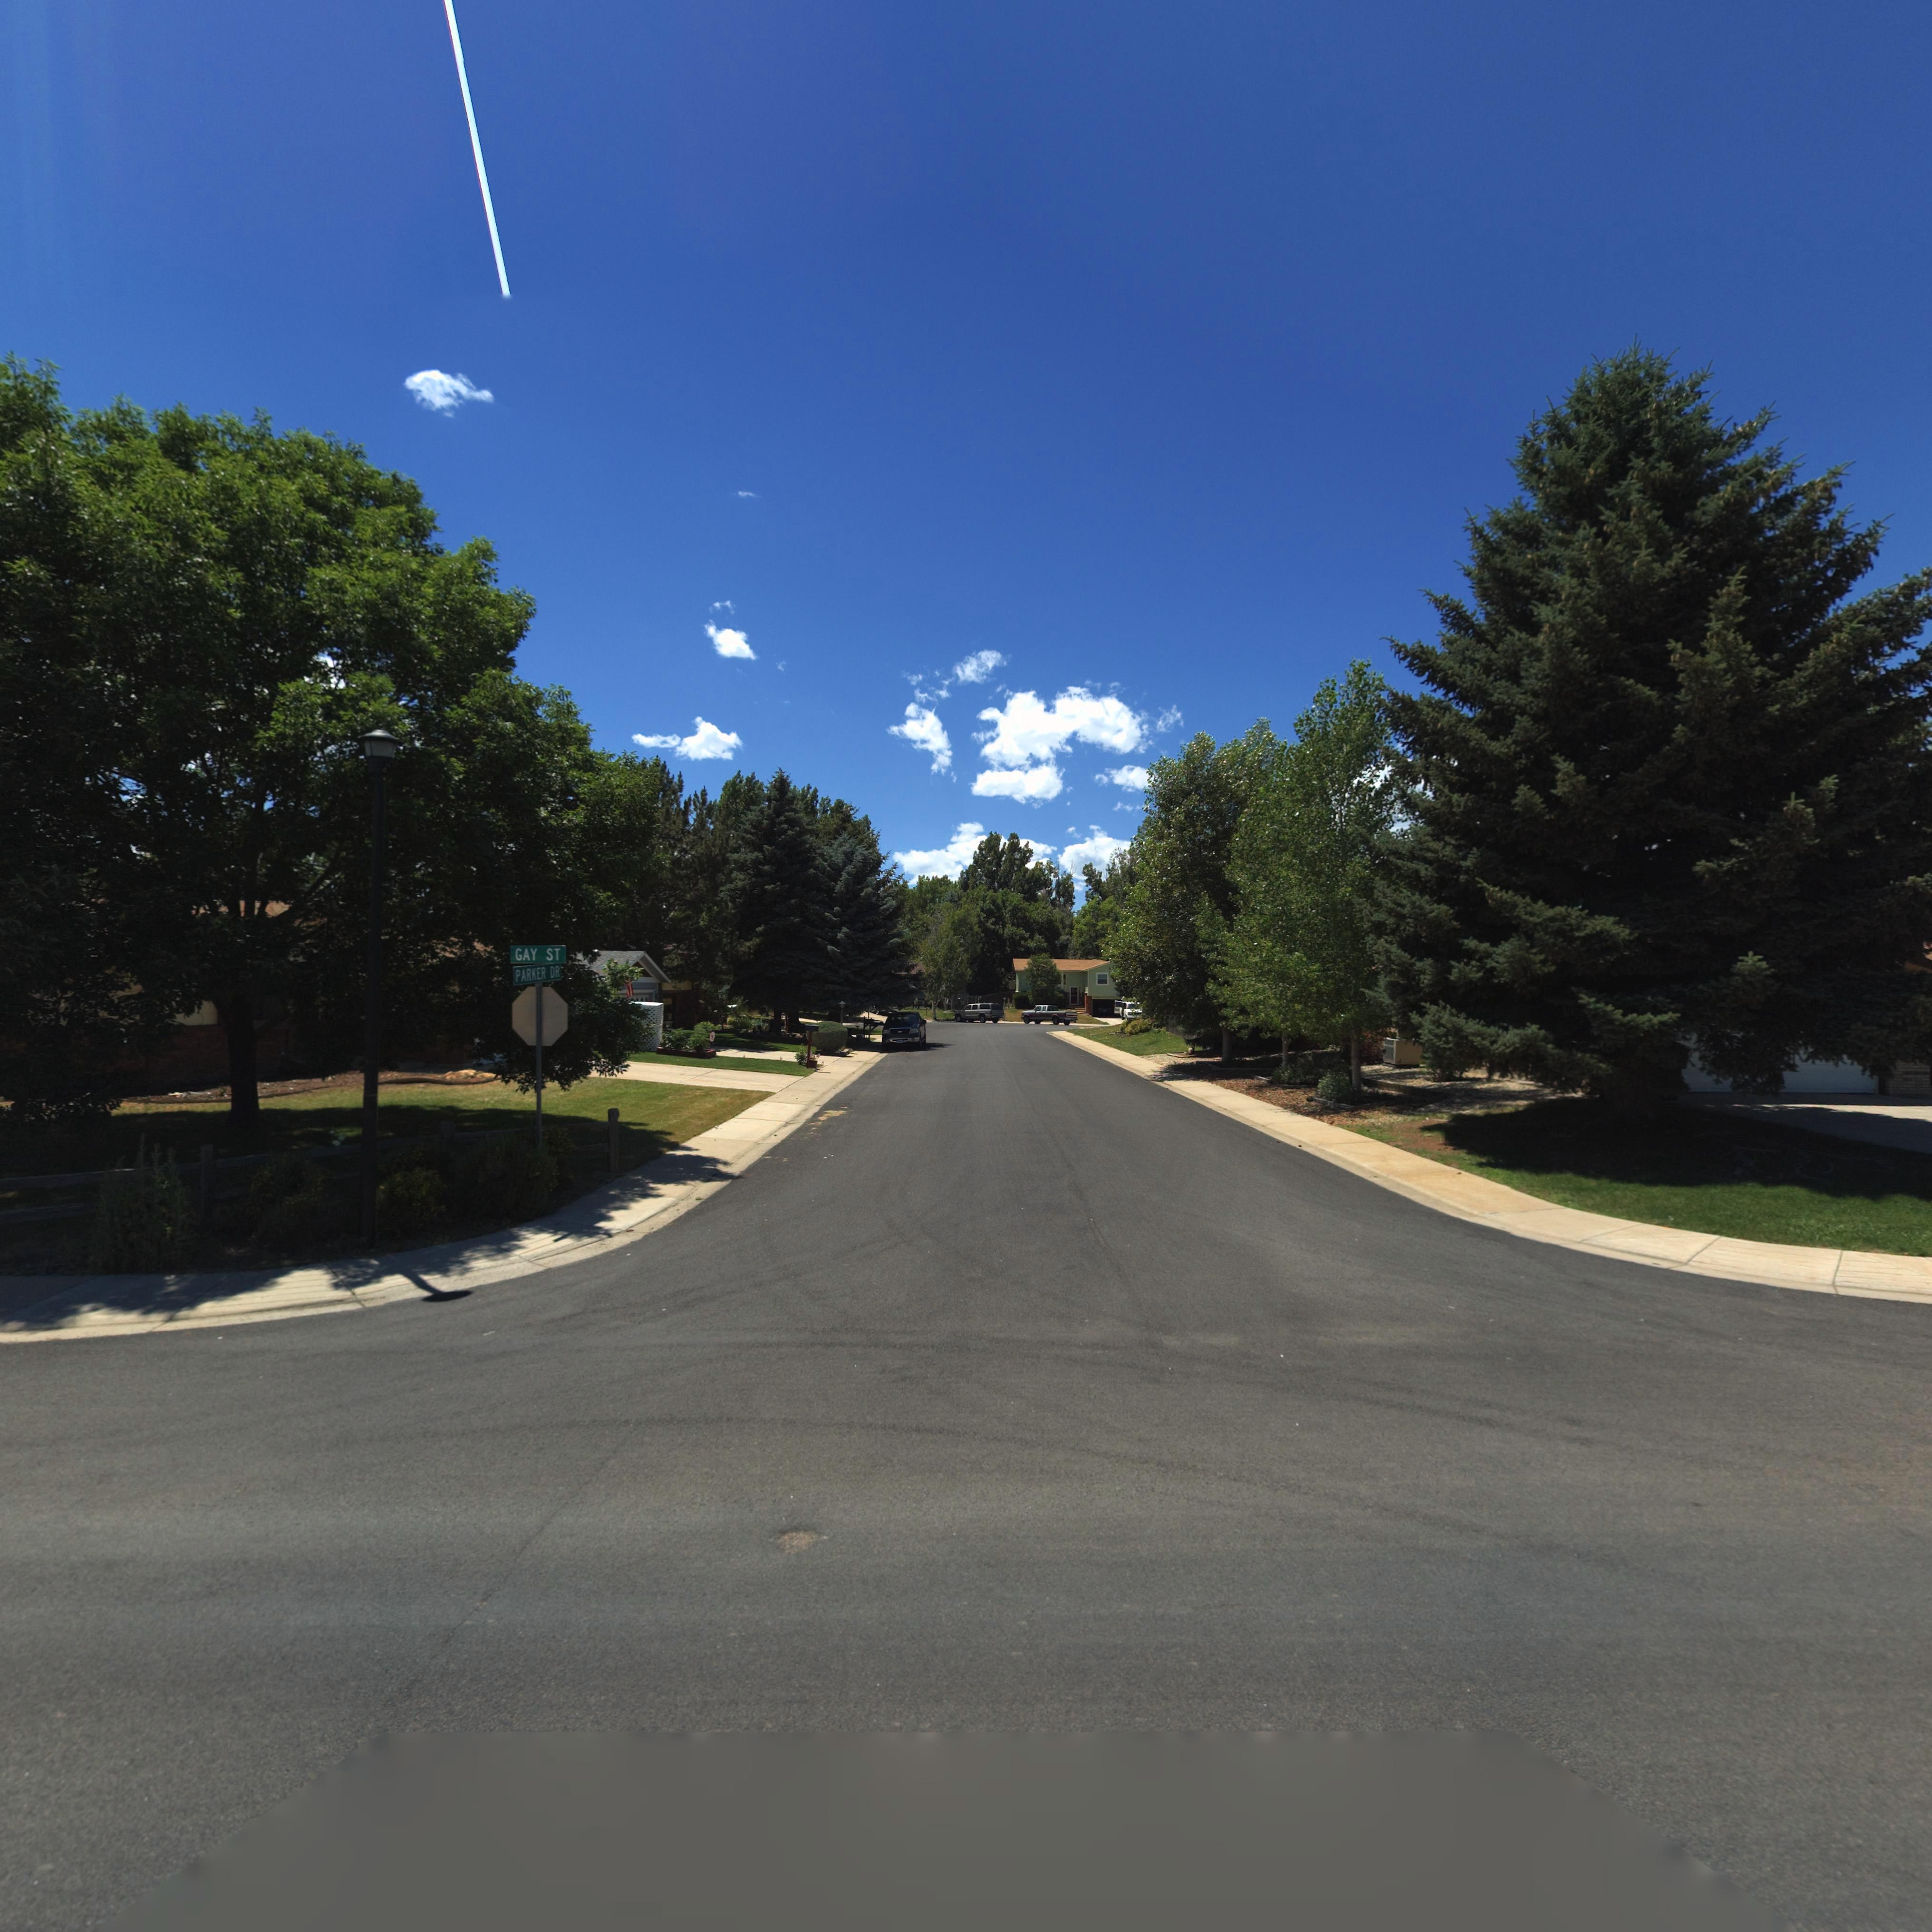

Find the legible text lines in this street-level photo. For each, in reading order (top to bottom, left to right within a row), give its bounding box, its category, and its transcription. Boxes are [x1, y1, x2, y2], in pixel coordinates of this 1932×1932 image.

[514, 947, 562, 961] StreetName: Gay St
[515, 965, 560, 983] None: PARKER DR